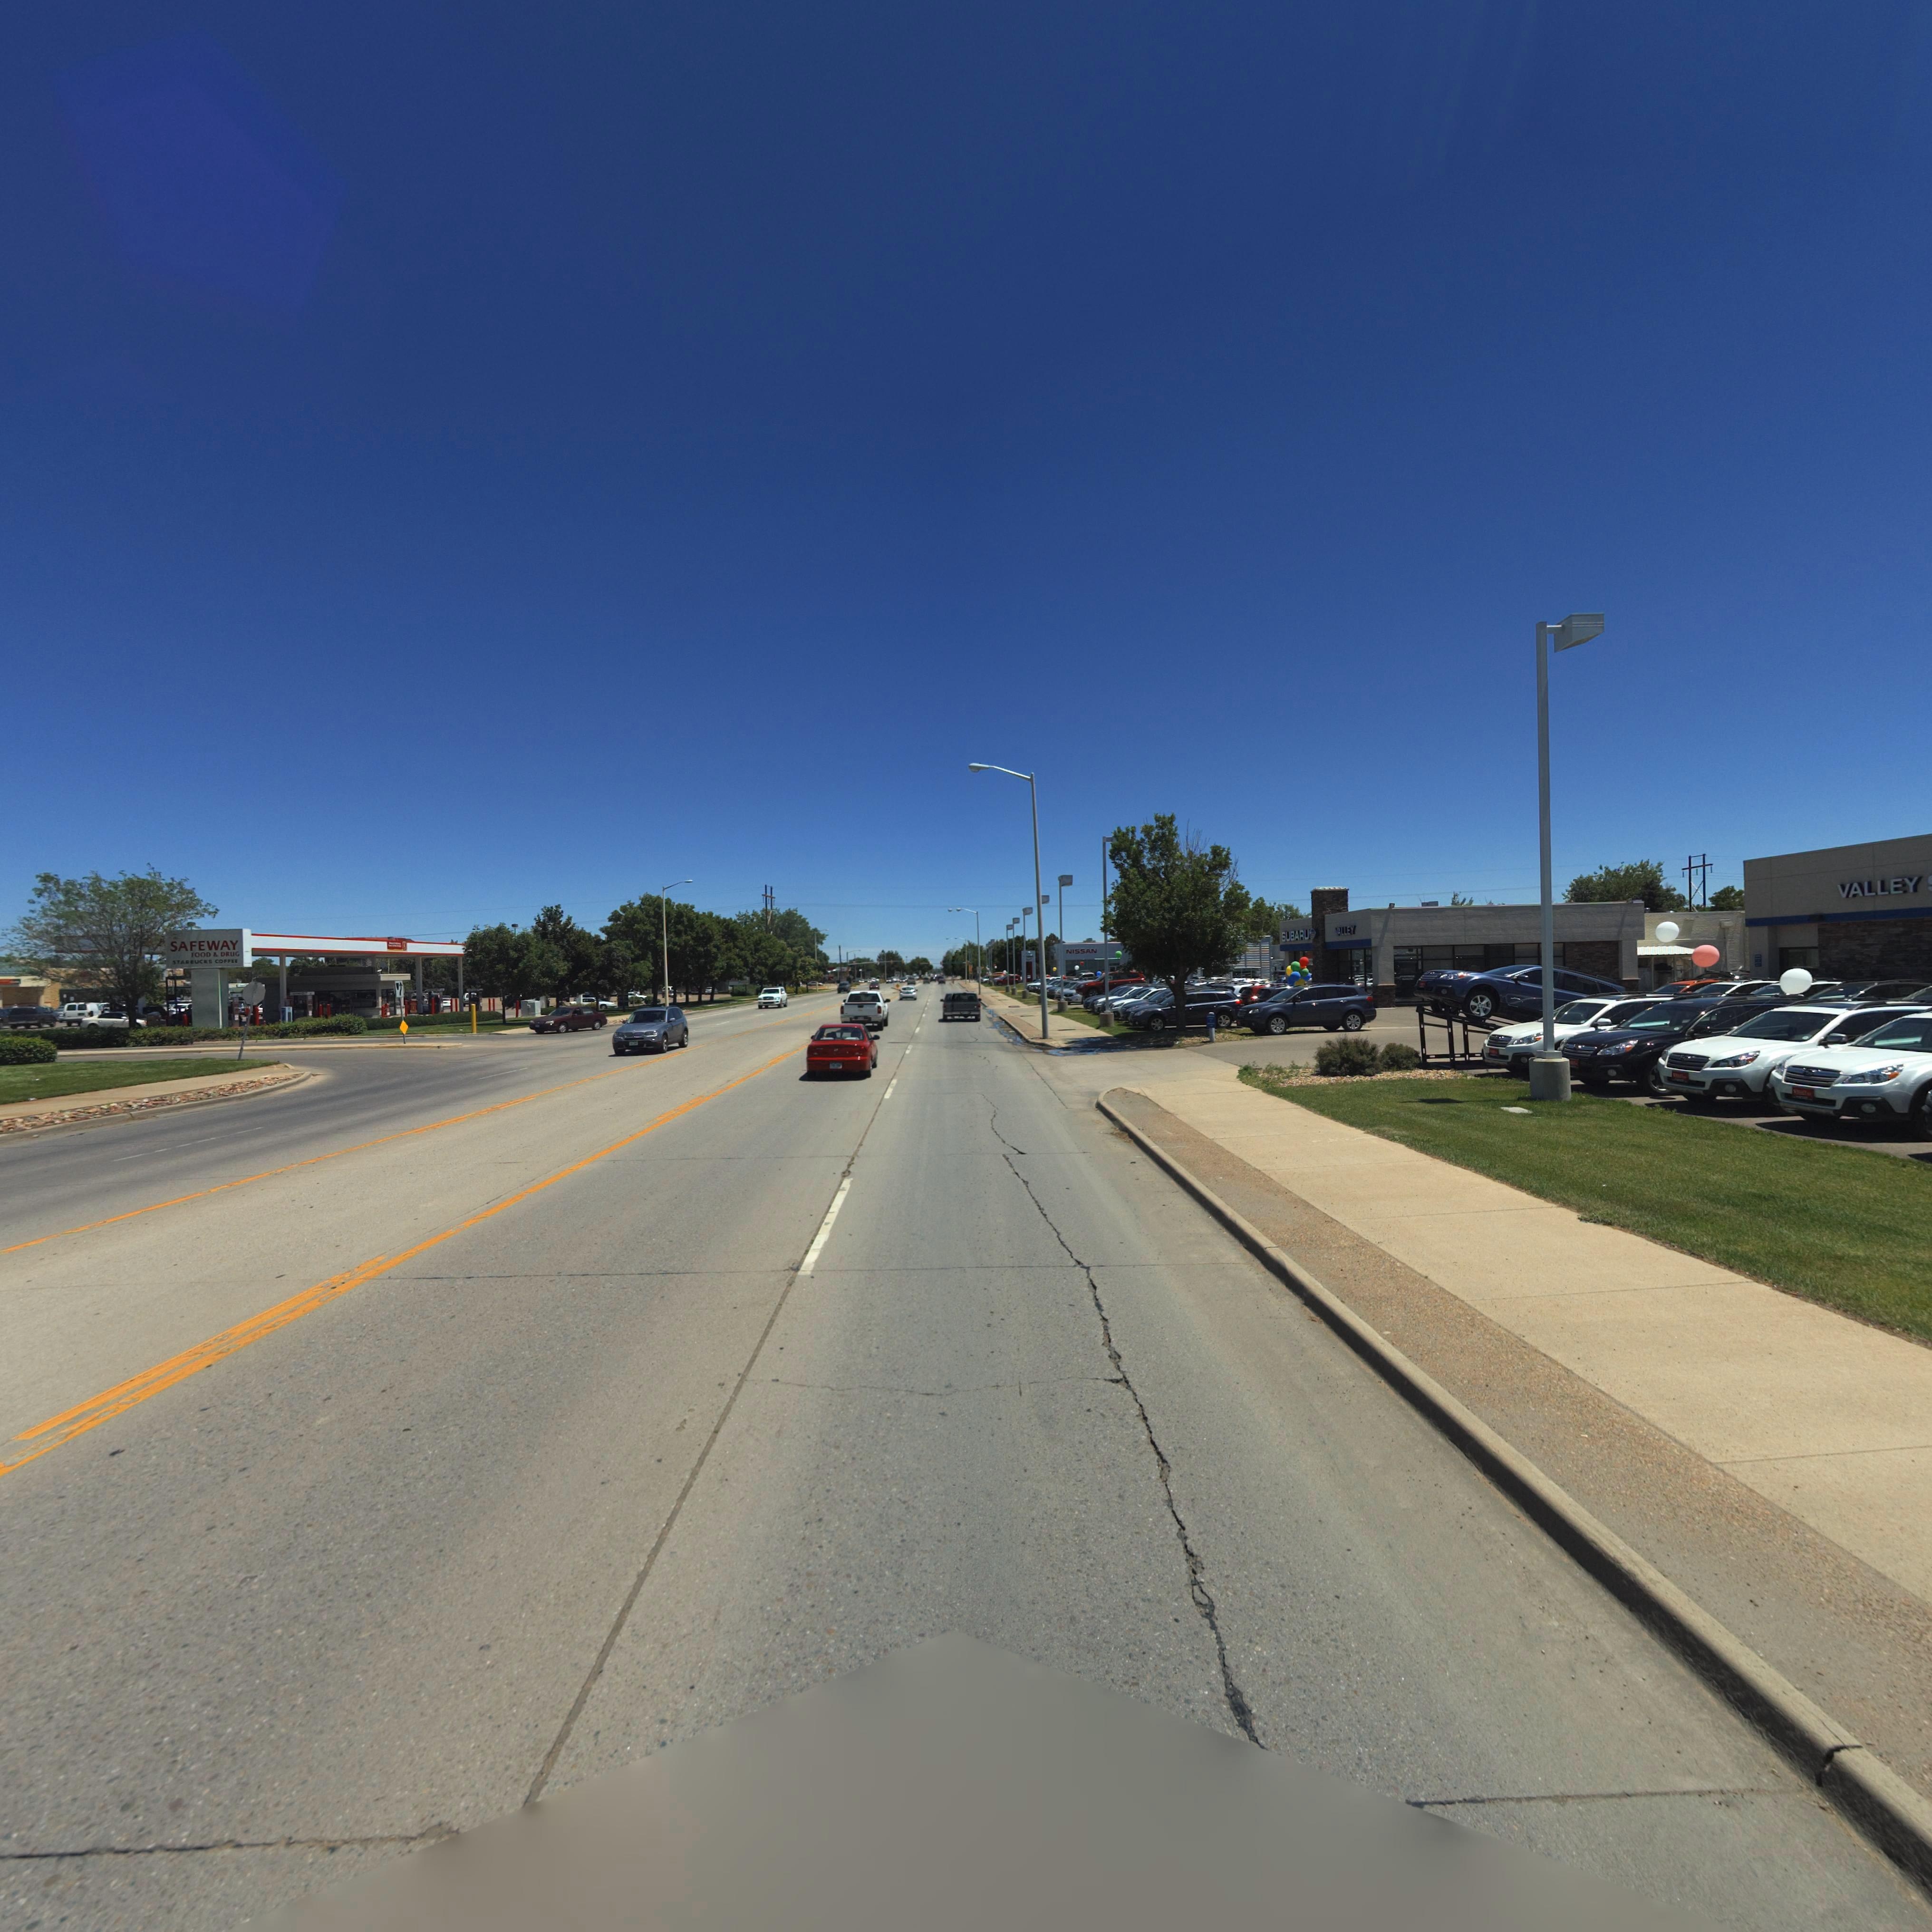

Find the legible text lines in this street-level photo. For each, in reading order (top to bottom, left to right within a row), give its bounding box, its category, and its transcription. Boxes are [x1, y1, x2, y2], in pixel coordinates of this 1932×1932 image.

[1835, 876, 1921, 898] BusinessName: VALLEY
[1281, 928, 1309, 942] BusinessName: SUBARU
[1333, 925, 1354, 936] BusinessName: VALLEY
[170, 939, 238, 952] BusinessName: SAFEWAY
[191, 951, 240, 958] BusinessName: FOOD & DRUG
[1065, 948, 1097, 954] BusinessName: NISSAN
[172, 958, 238, 965] BusinessName: STAR*UCKS COFF**